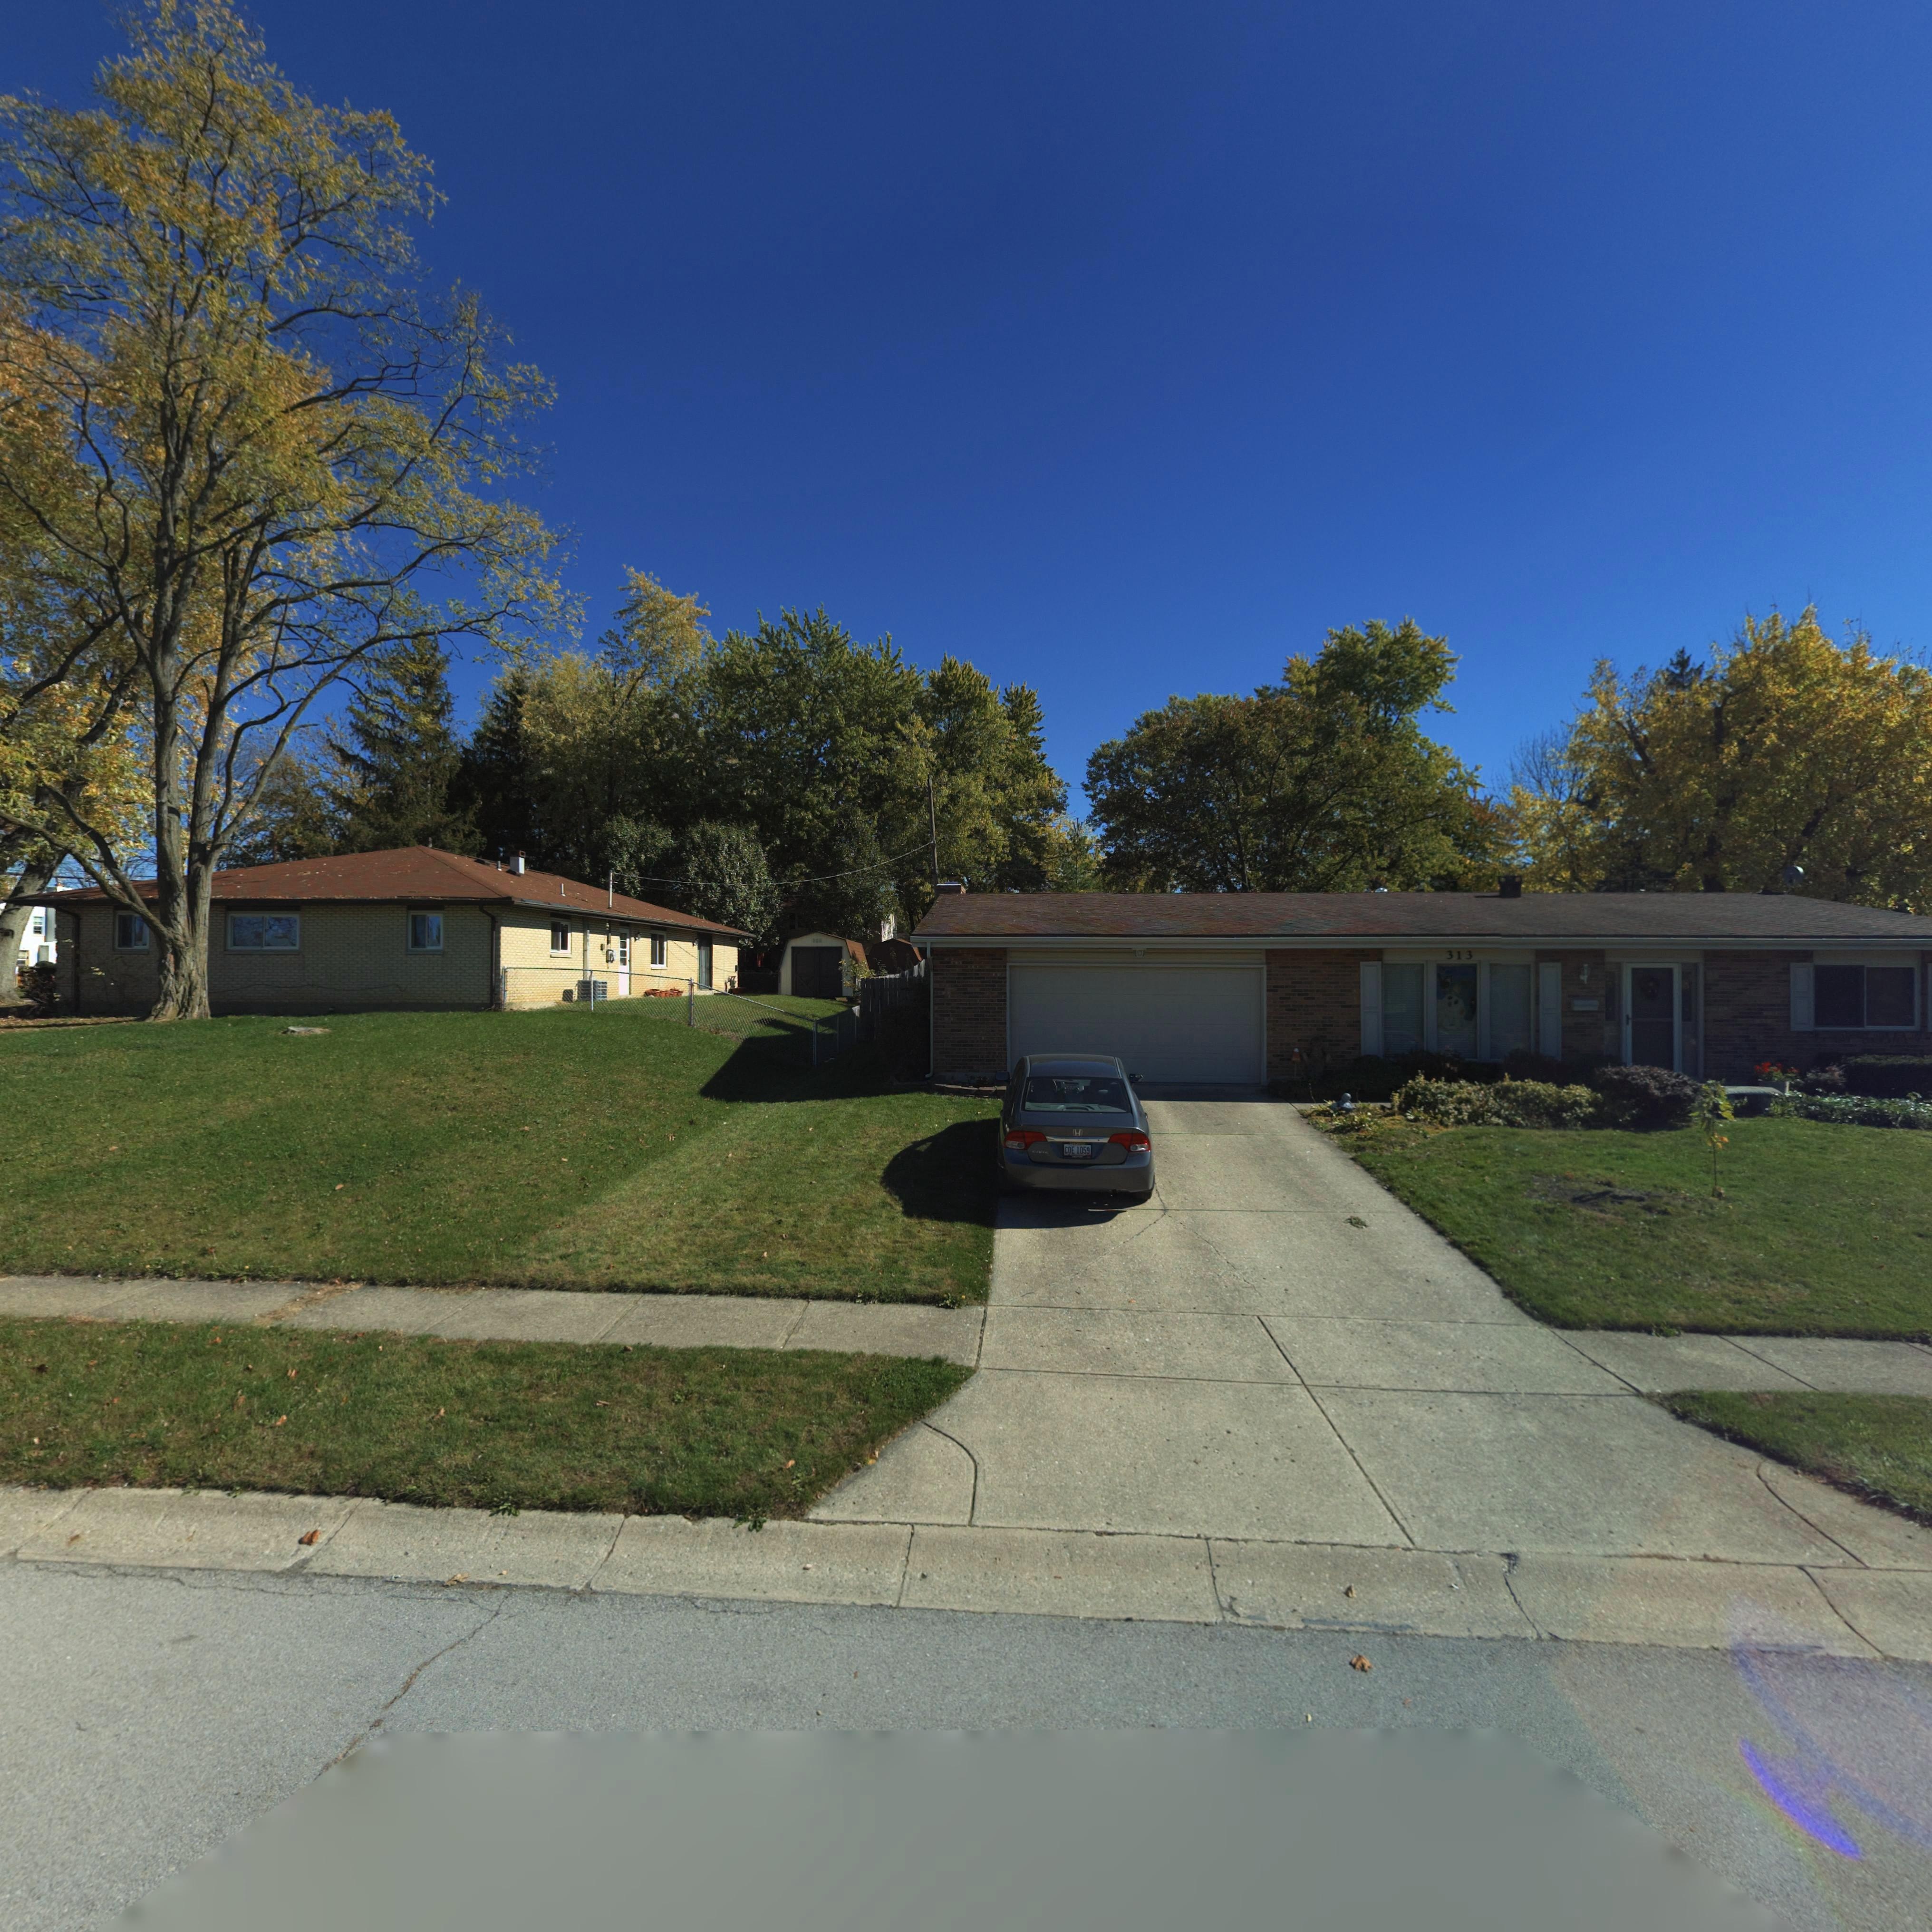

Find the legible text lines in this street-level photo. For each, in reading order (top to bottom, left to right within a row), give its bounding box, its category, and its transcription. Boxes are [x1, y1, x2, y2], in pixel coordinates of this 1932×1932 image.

[1445, 949, 1472, 960] StreetNumber: 313